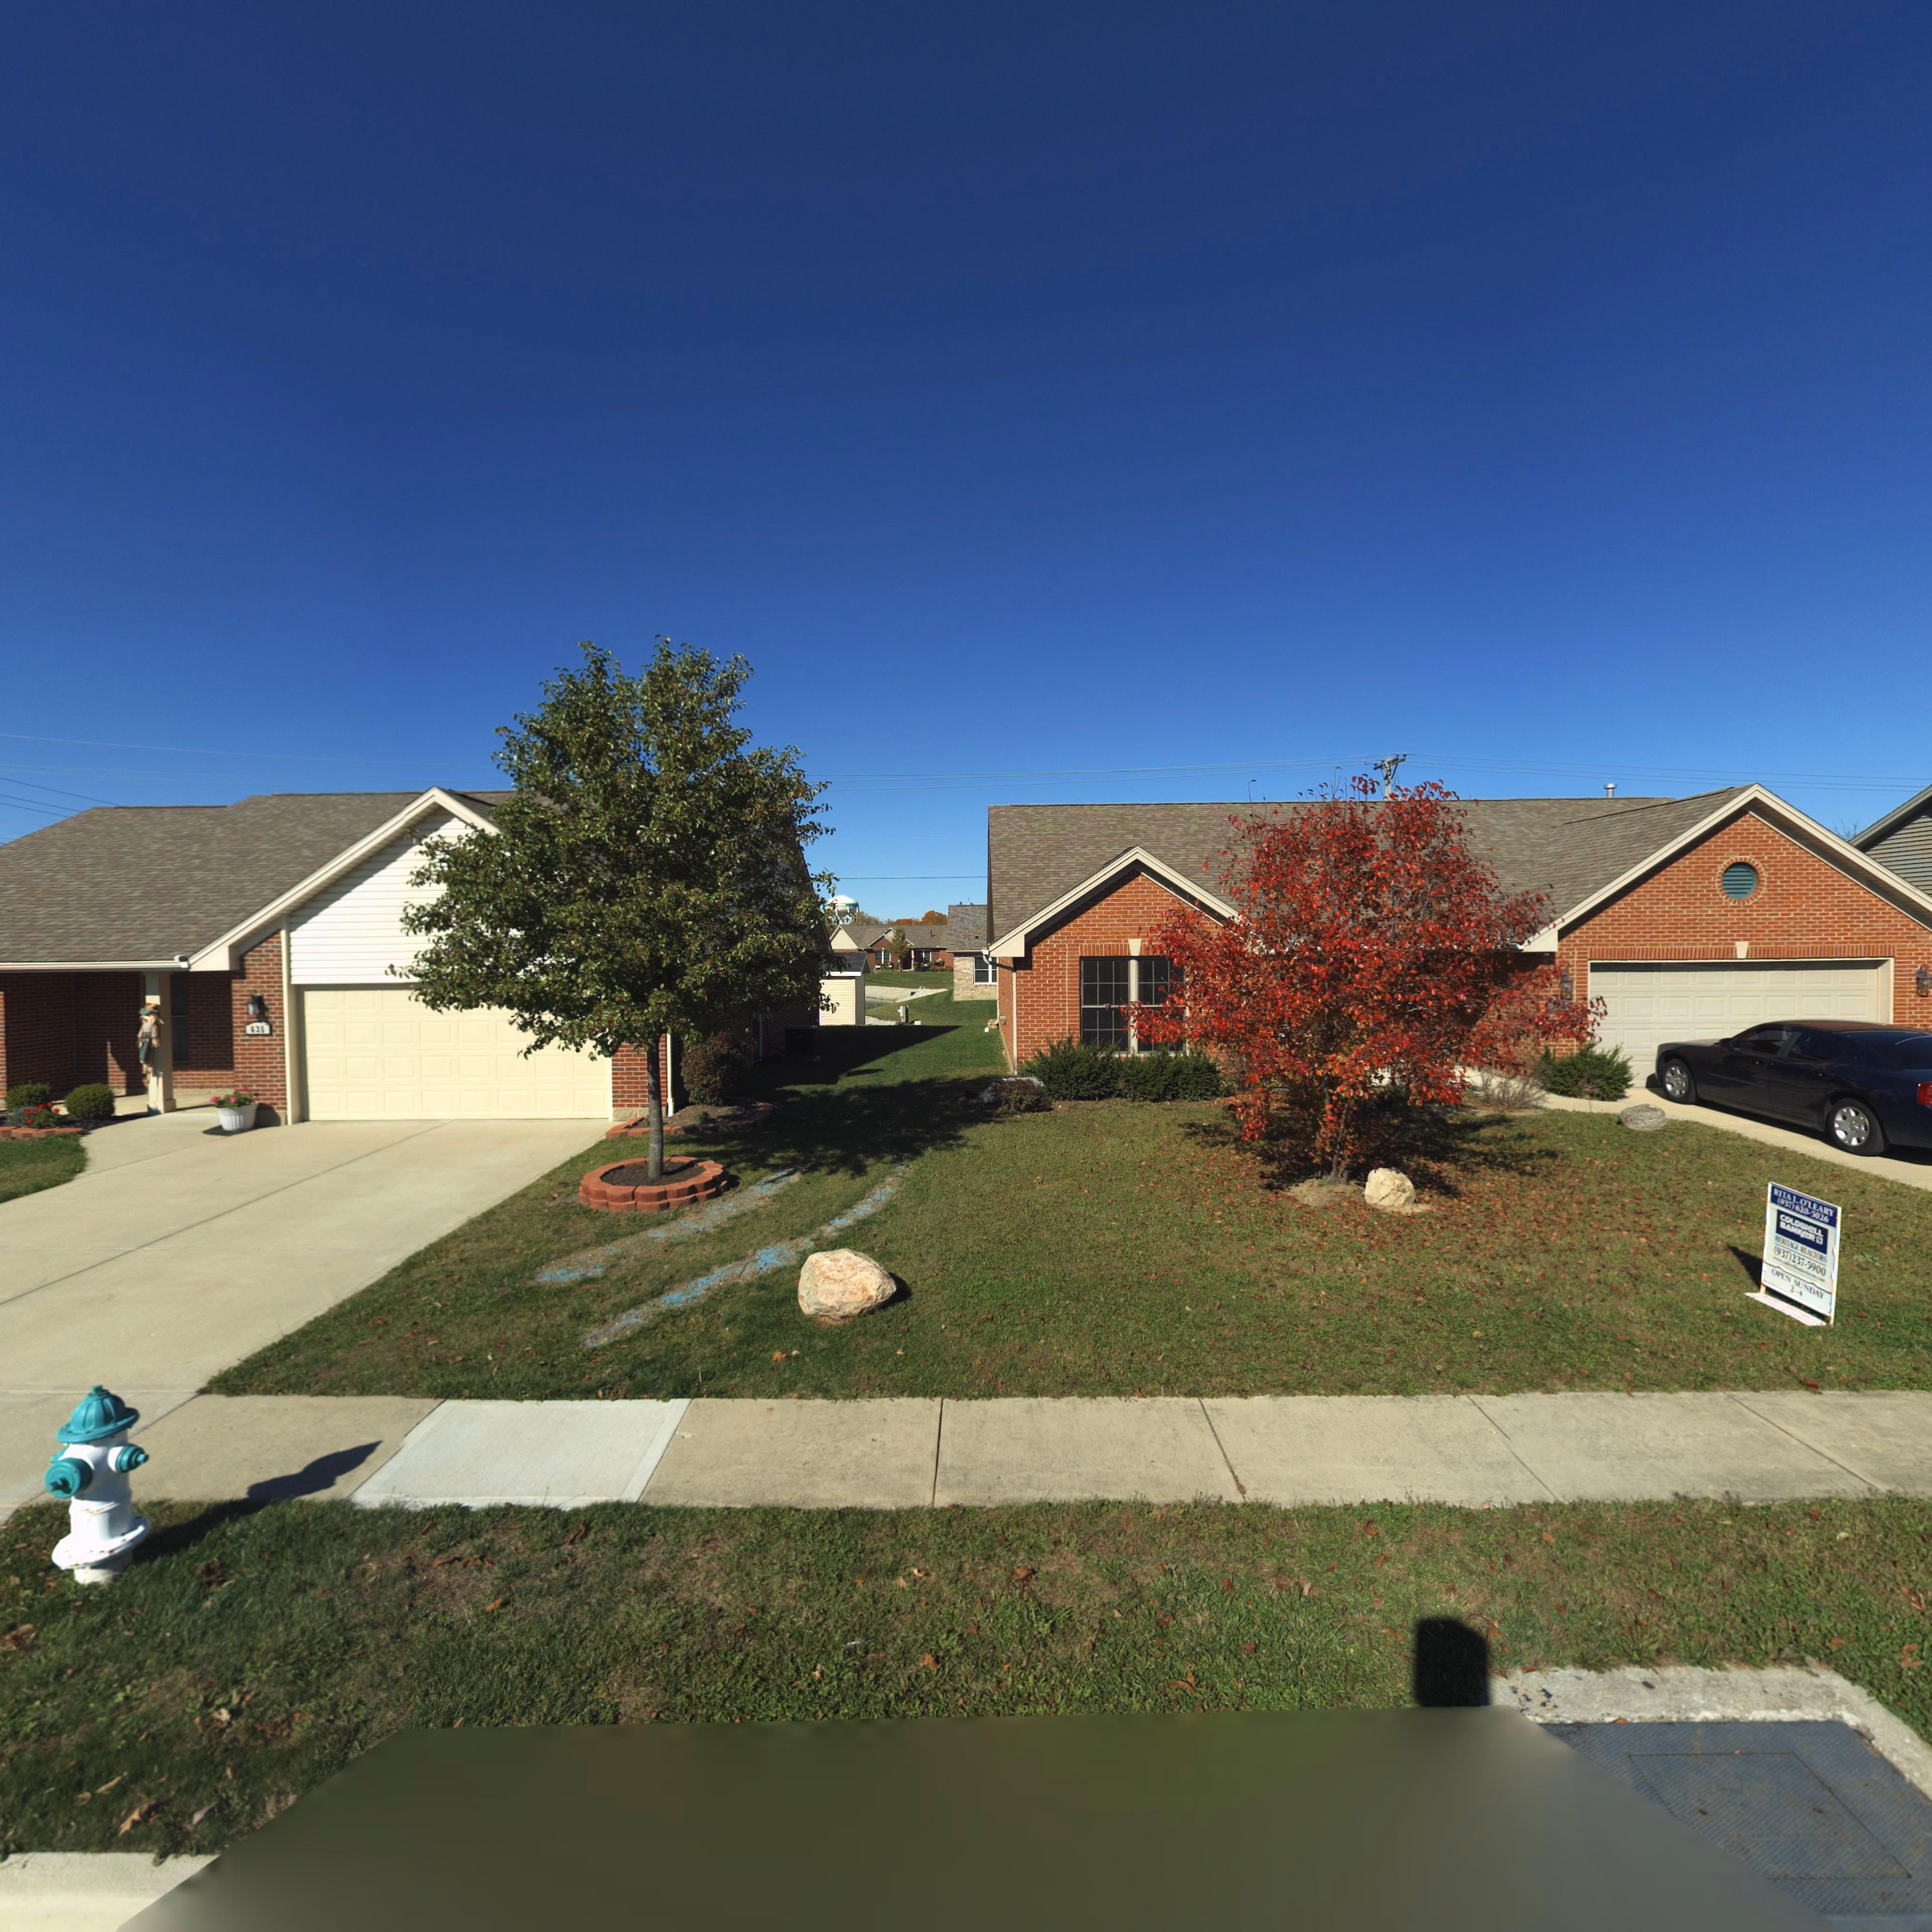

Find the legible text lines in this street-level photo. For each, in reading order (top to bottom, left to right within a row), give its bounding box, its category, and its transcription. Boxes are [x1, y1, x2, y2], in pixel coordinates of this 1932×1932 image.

[249, 1024, 267, 1035] StreetNumber: 635
[1773, 1187, 1836, 1218] None: RITA L. O'LEARY
[1779, 1220, 1816, 1243] None: BANKeR
[1779, 1213, 1826, 1239] None: COLDWeLL
[1774, 1244, 1827, 1278] None: (937) 237-5900
[1770, 1267, 1826, 1300] None: OPEN SUNDAY